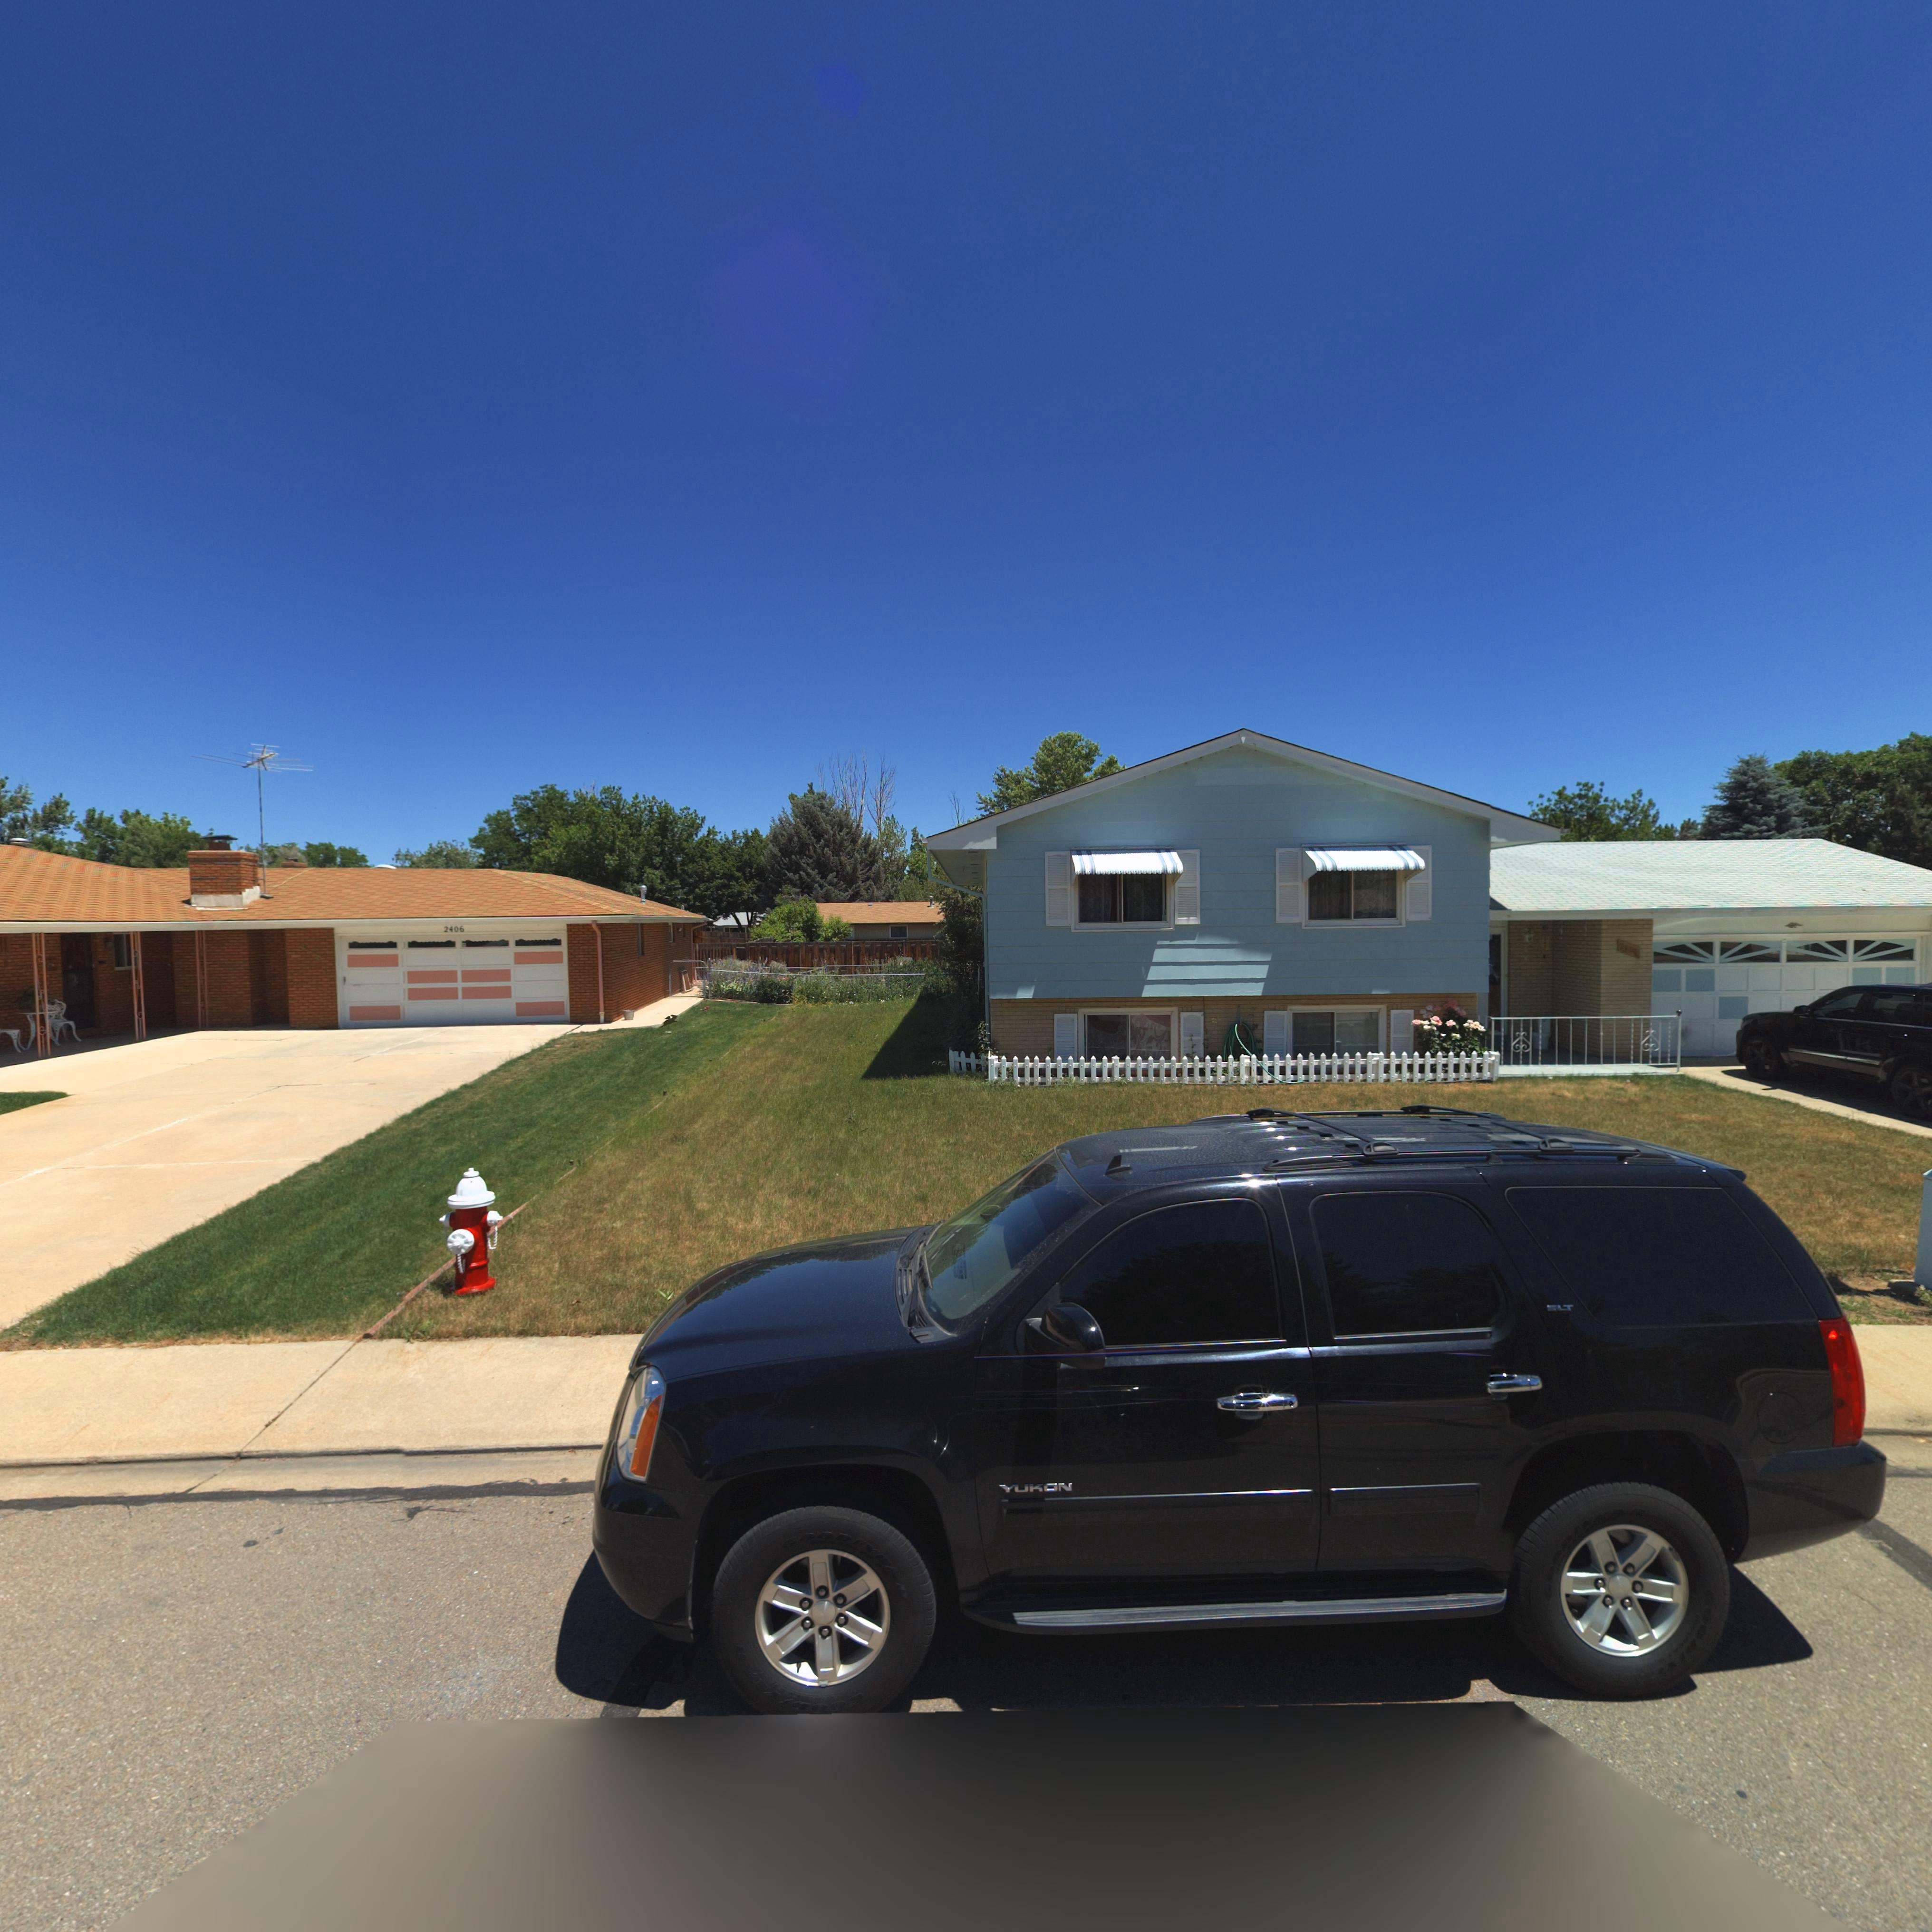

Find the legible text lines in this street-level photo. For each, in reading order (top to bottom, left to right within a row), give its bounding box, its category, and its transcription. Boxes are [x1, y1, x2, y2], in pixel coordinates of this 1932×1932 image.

[444, 926, 464, 933] StreetNumber: 2406
[1619, 942, 1638, 956] StreetNumber: **00